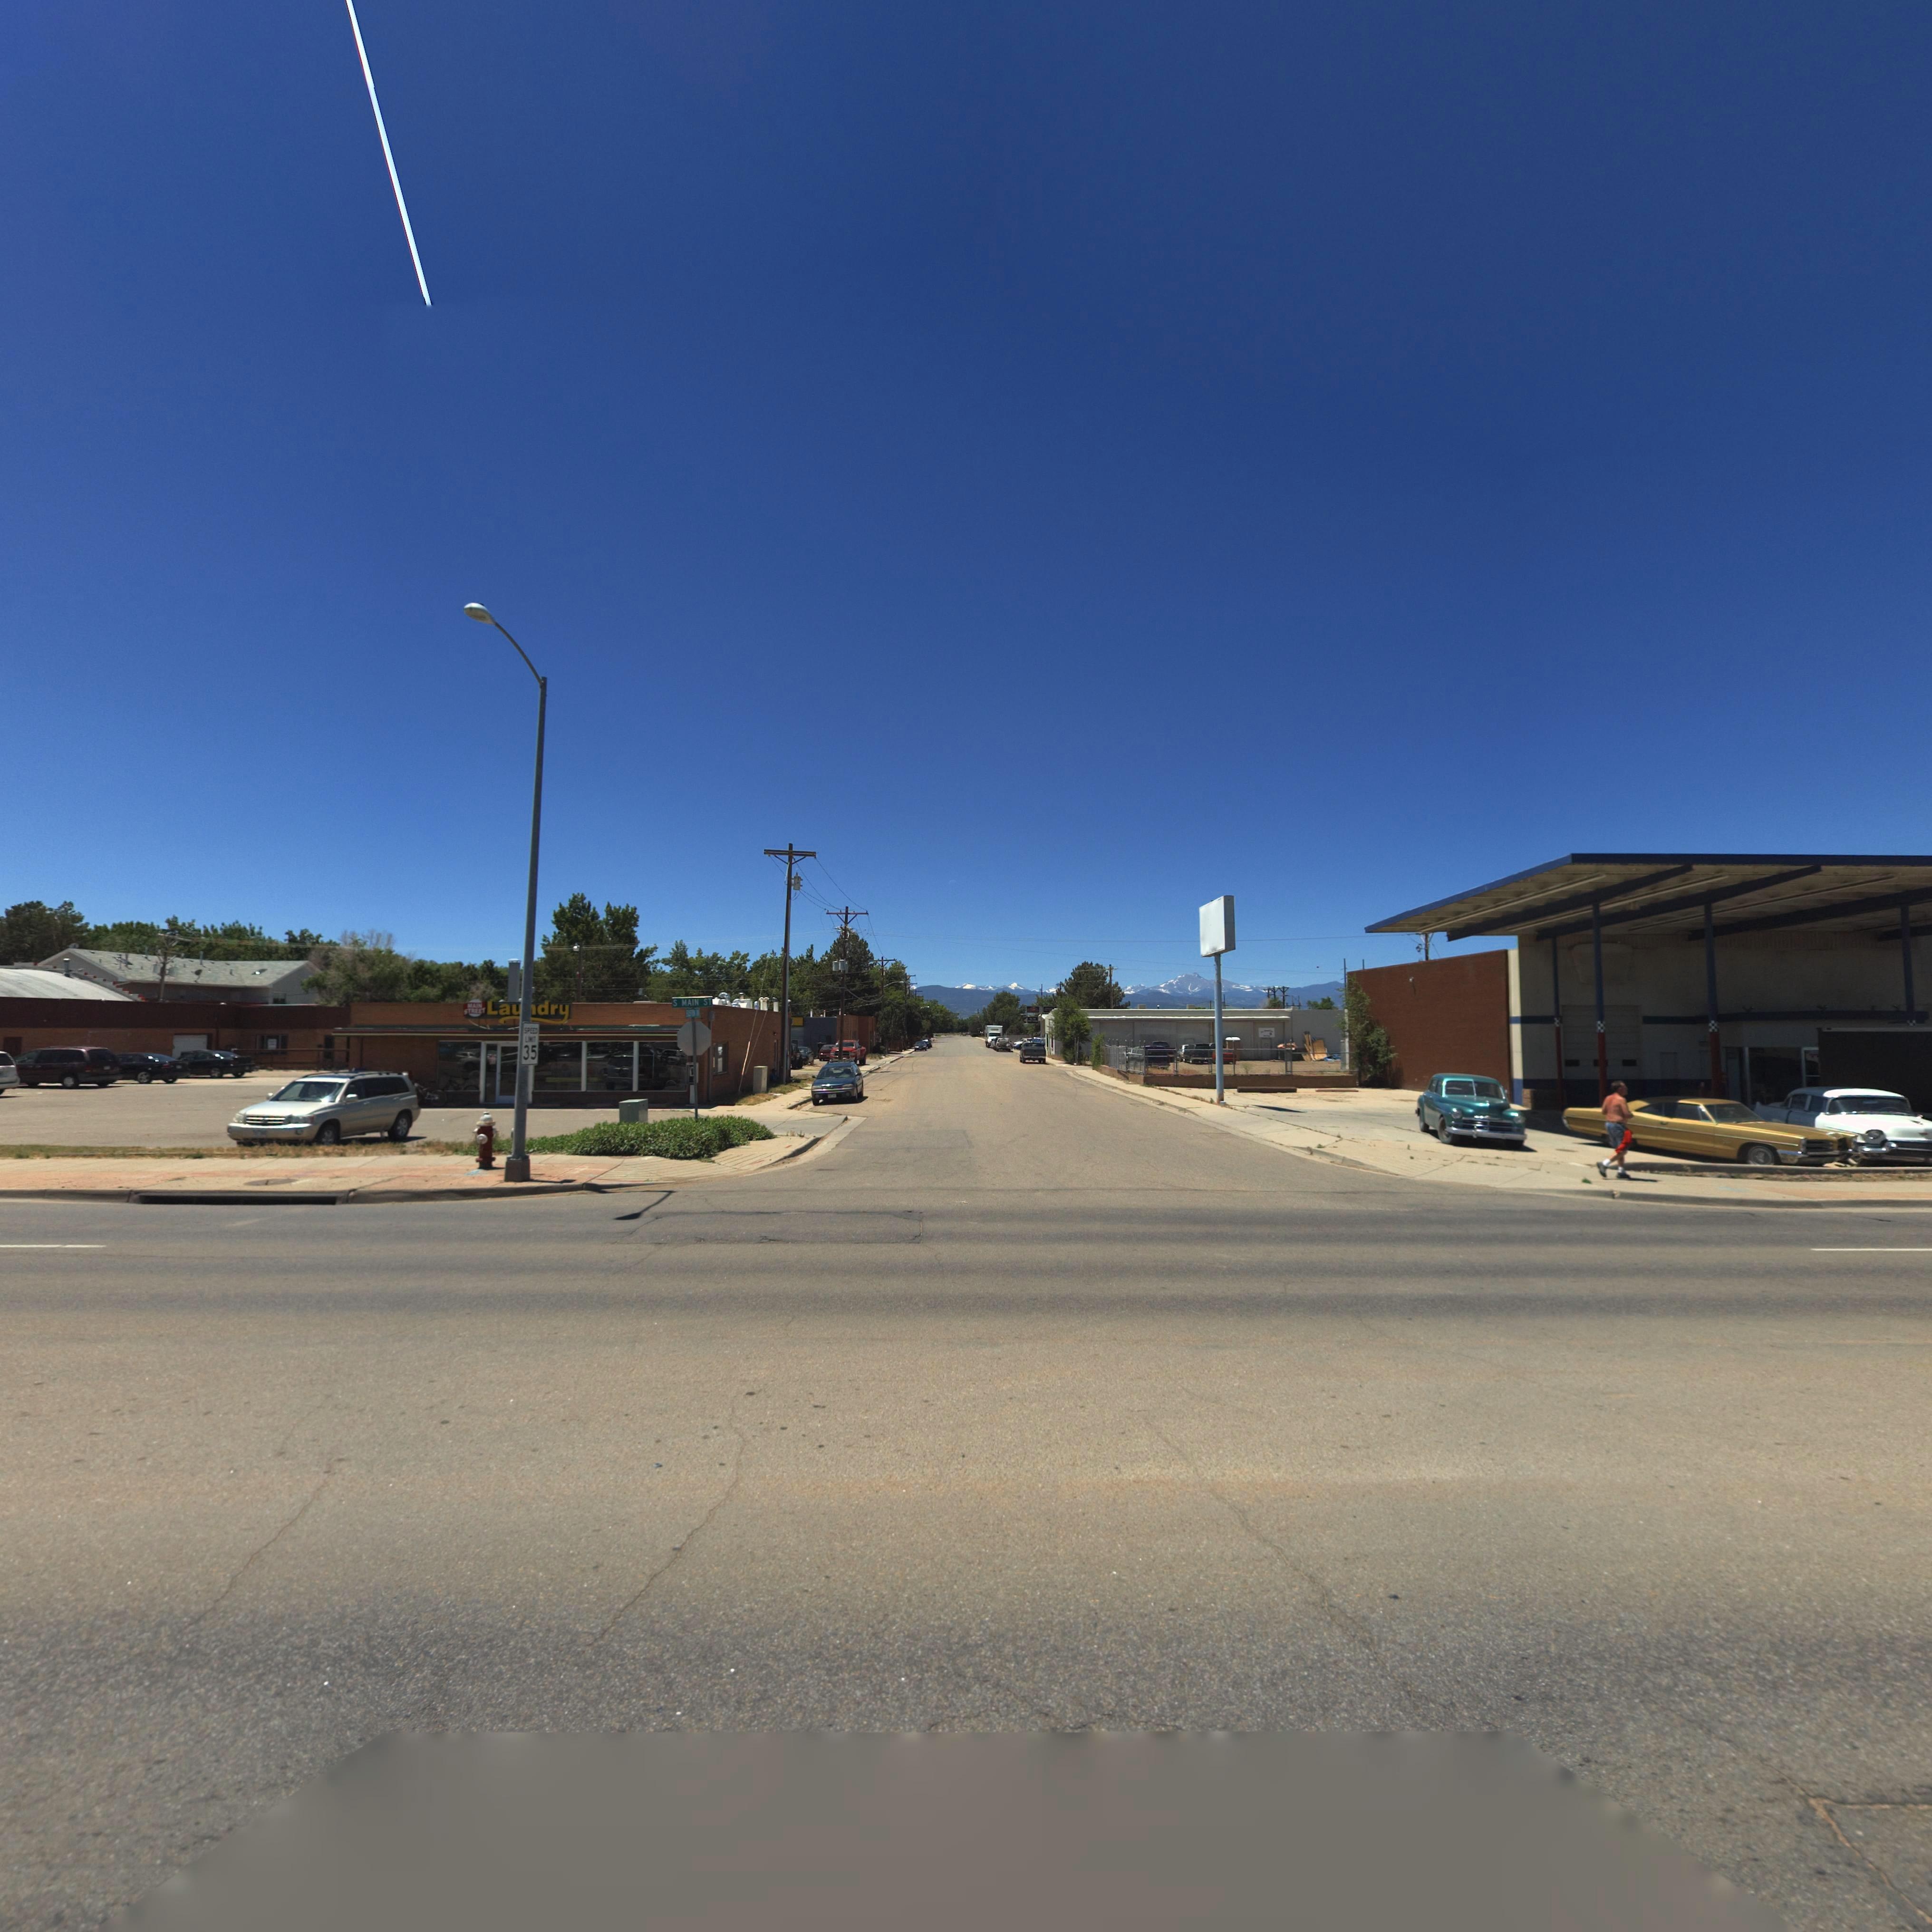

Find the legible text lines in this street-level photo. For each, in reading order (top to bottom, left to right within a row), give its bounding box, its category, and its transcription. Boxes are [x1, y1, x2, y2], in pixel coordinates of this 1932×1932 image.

[467, 1003, 483, 1008] BusinessName: MAIN
[672, 997, 712, 1006] StreetName: S MAIN ST
[463, 1007, 486, 1015] BusinessName: STREET
[486, 1000, 570, 1024] BusinessName: La**dry
[686, 1009, 699, 1017] StreetName: **S*** **